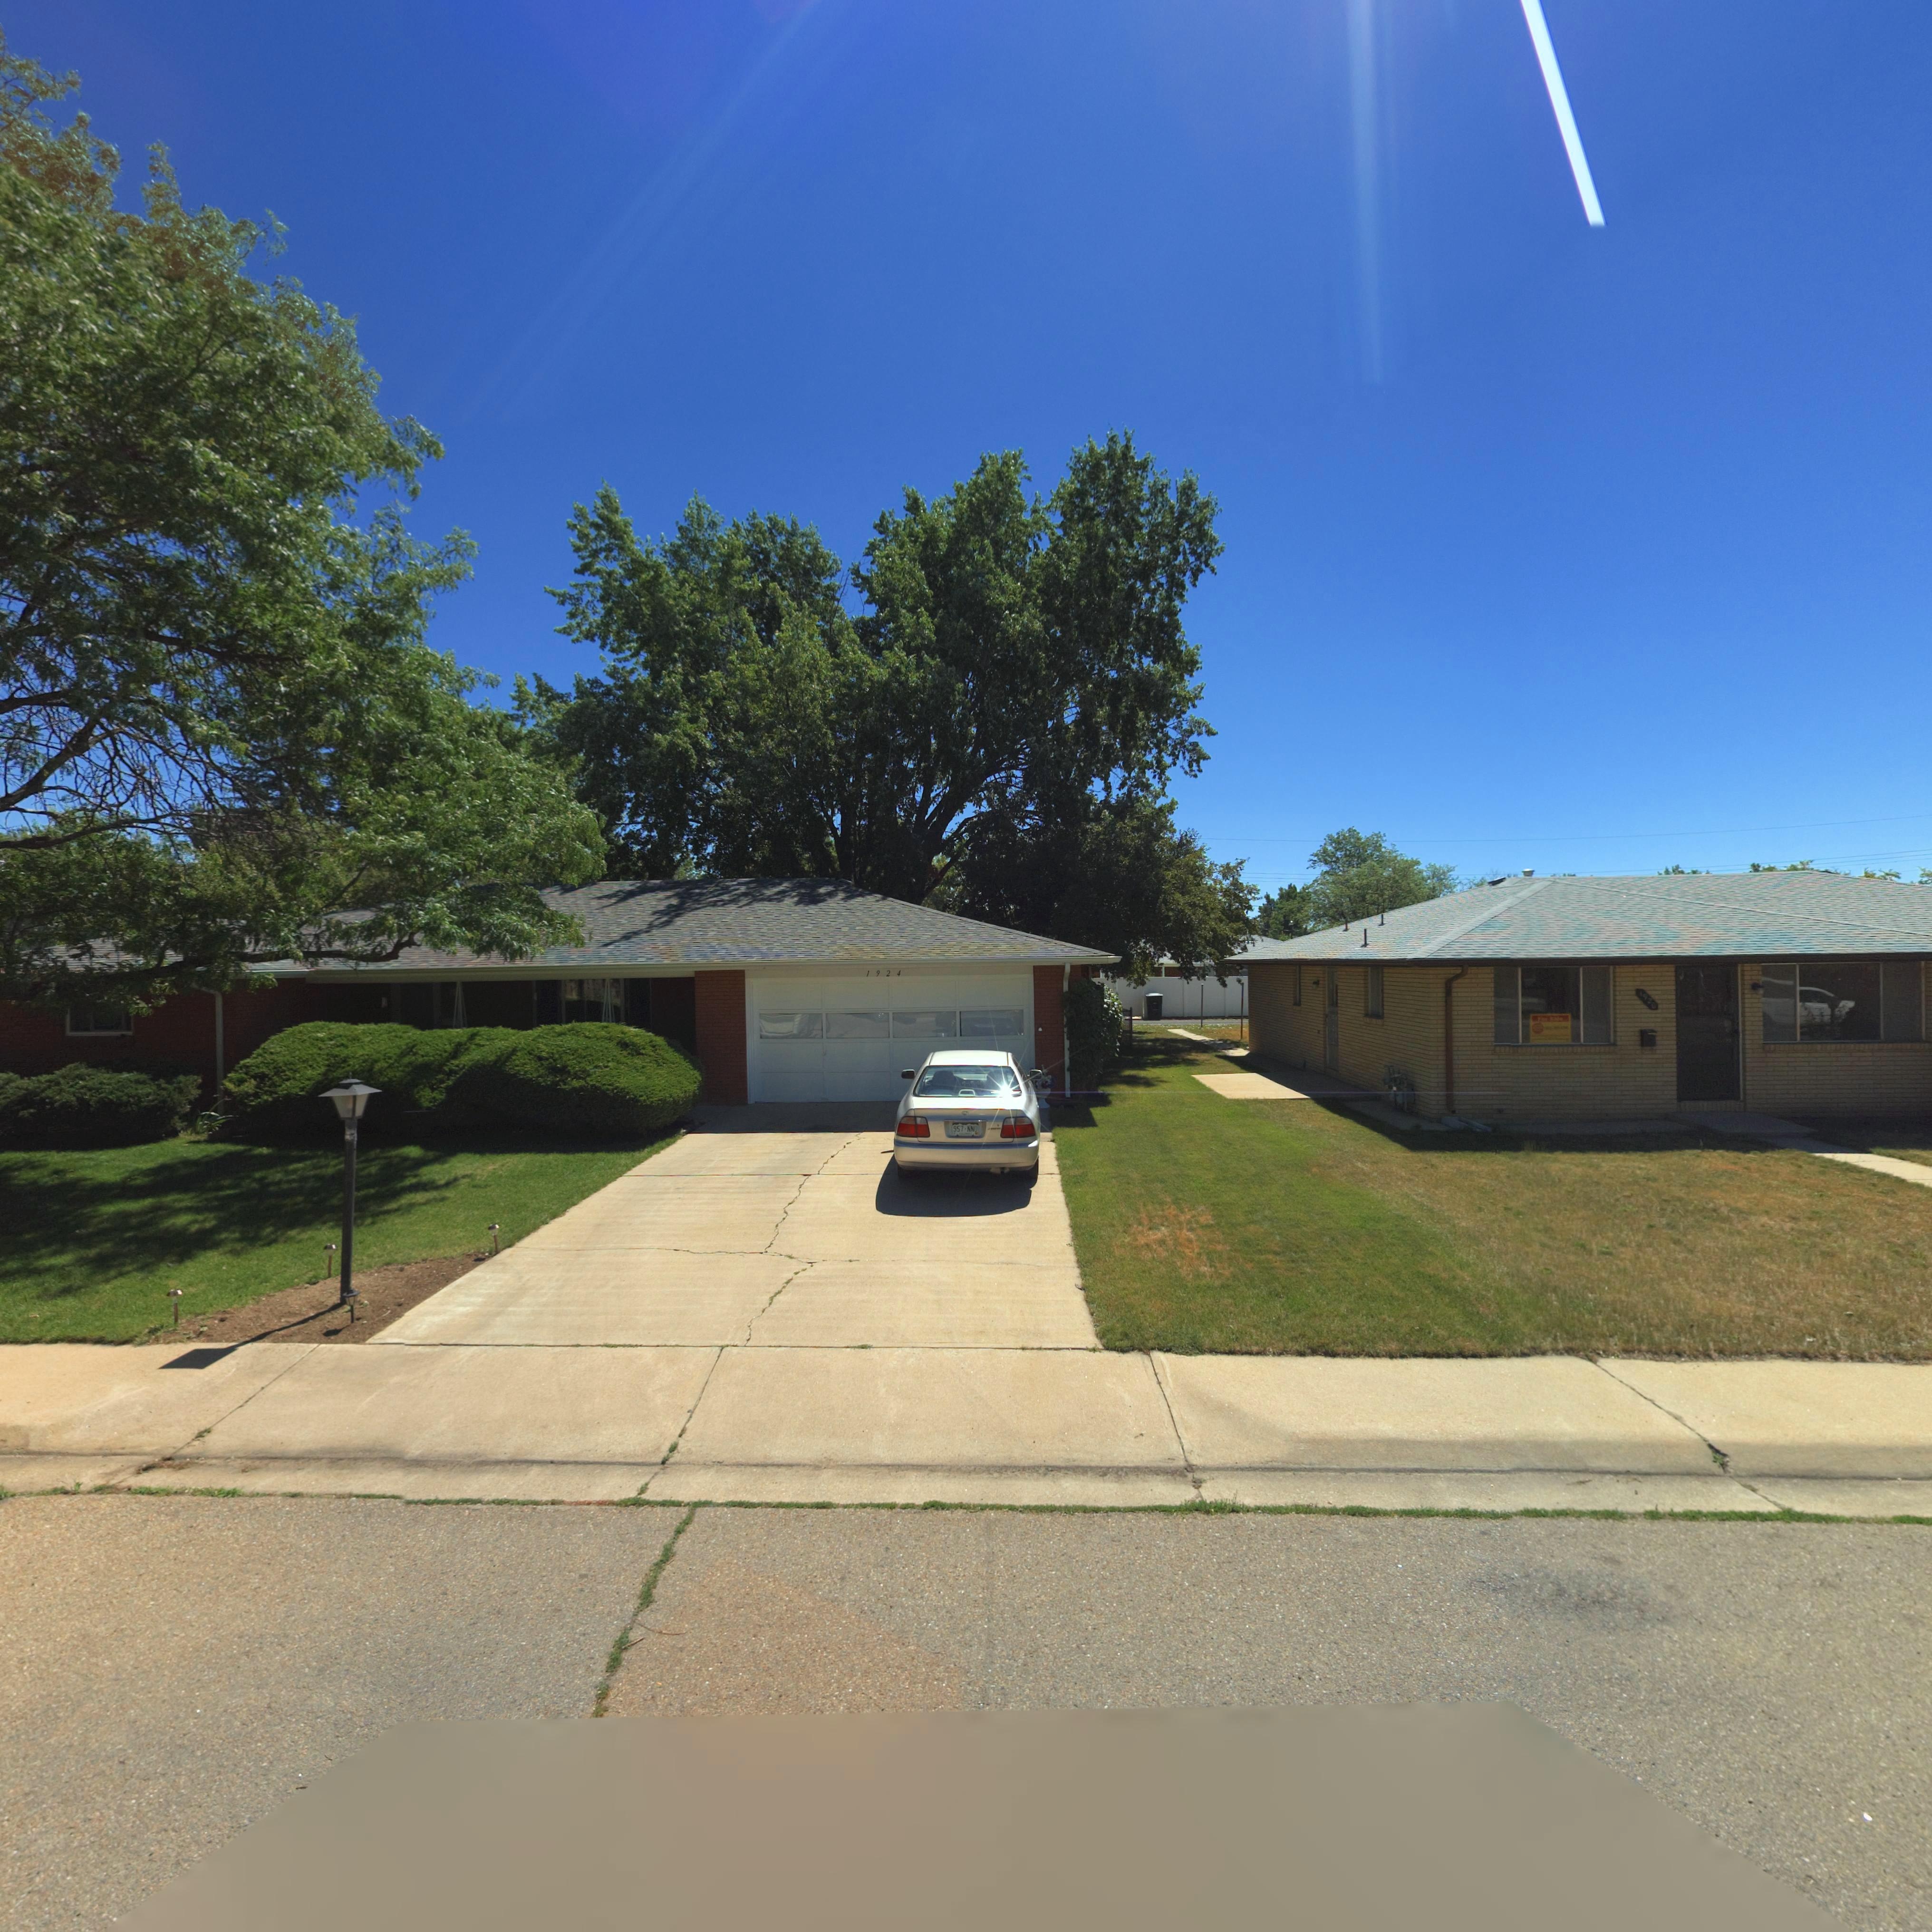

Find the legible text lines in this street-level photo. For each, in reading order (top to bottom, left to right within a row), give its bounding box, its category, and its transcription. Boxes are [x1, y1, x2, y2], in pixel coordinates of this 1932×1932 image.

[865, 969, 902, 977] StreetNumber: 1924
[1639, 989, 1657, 1009] StreetNumber: 1920